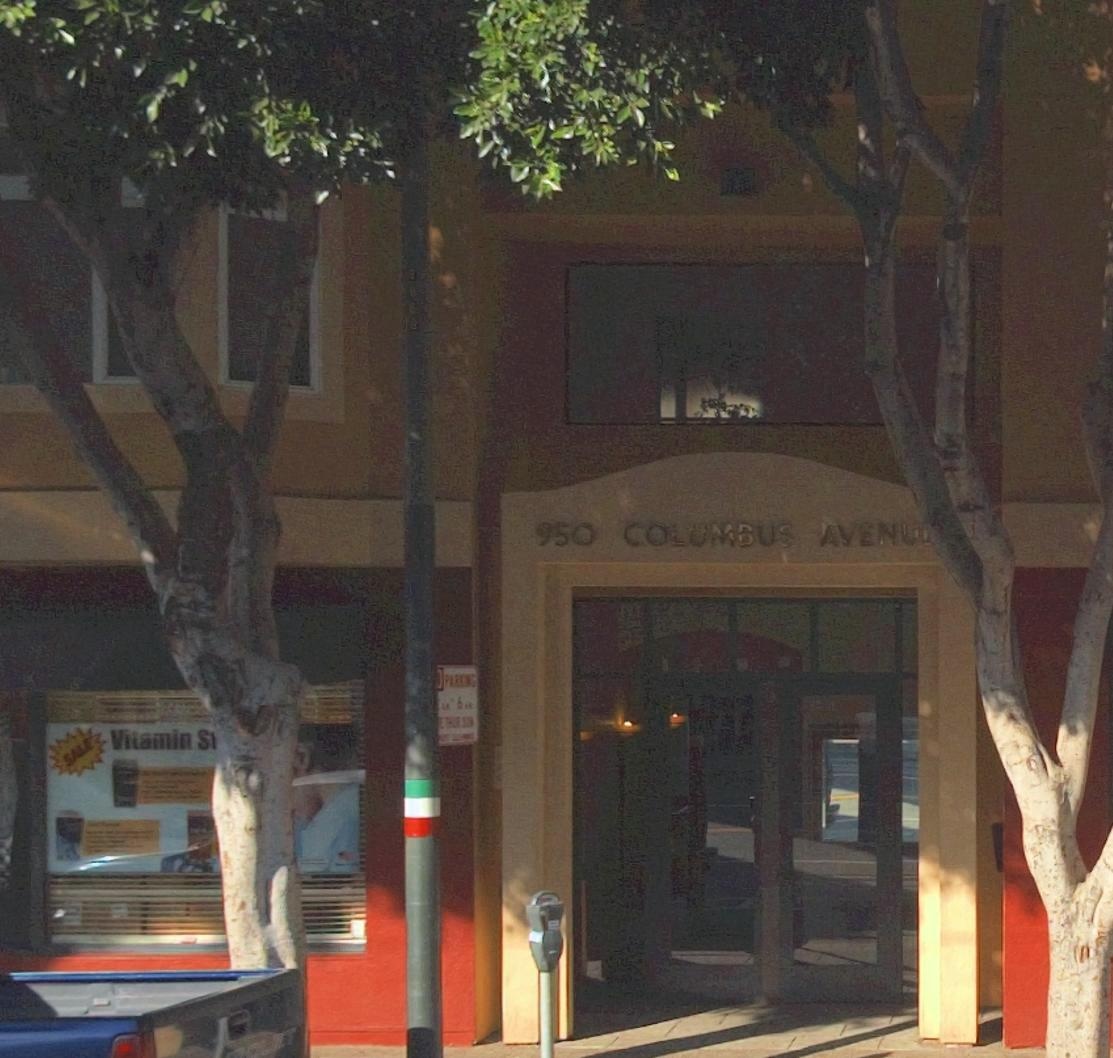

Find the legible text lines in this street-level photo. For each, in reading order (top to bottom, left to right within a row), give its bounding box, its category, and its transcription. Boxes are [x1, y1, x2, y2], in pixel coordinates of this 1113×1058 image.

[533, 518, 598, 551] StreetNumber: 950
[620, 517, 920, 549] StreetName: COLUMBUS AVENU
[442, 671, 476, 687] None: PARKING
[455, 693, 465, 711] None: 6
[444, 713, 477, 730] None: THUR SUN
[60, 731, 97, 770] None: SALE
[107, 726, 210, 752] None: Vitamin S